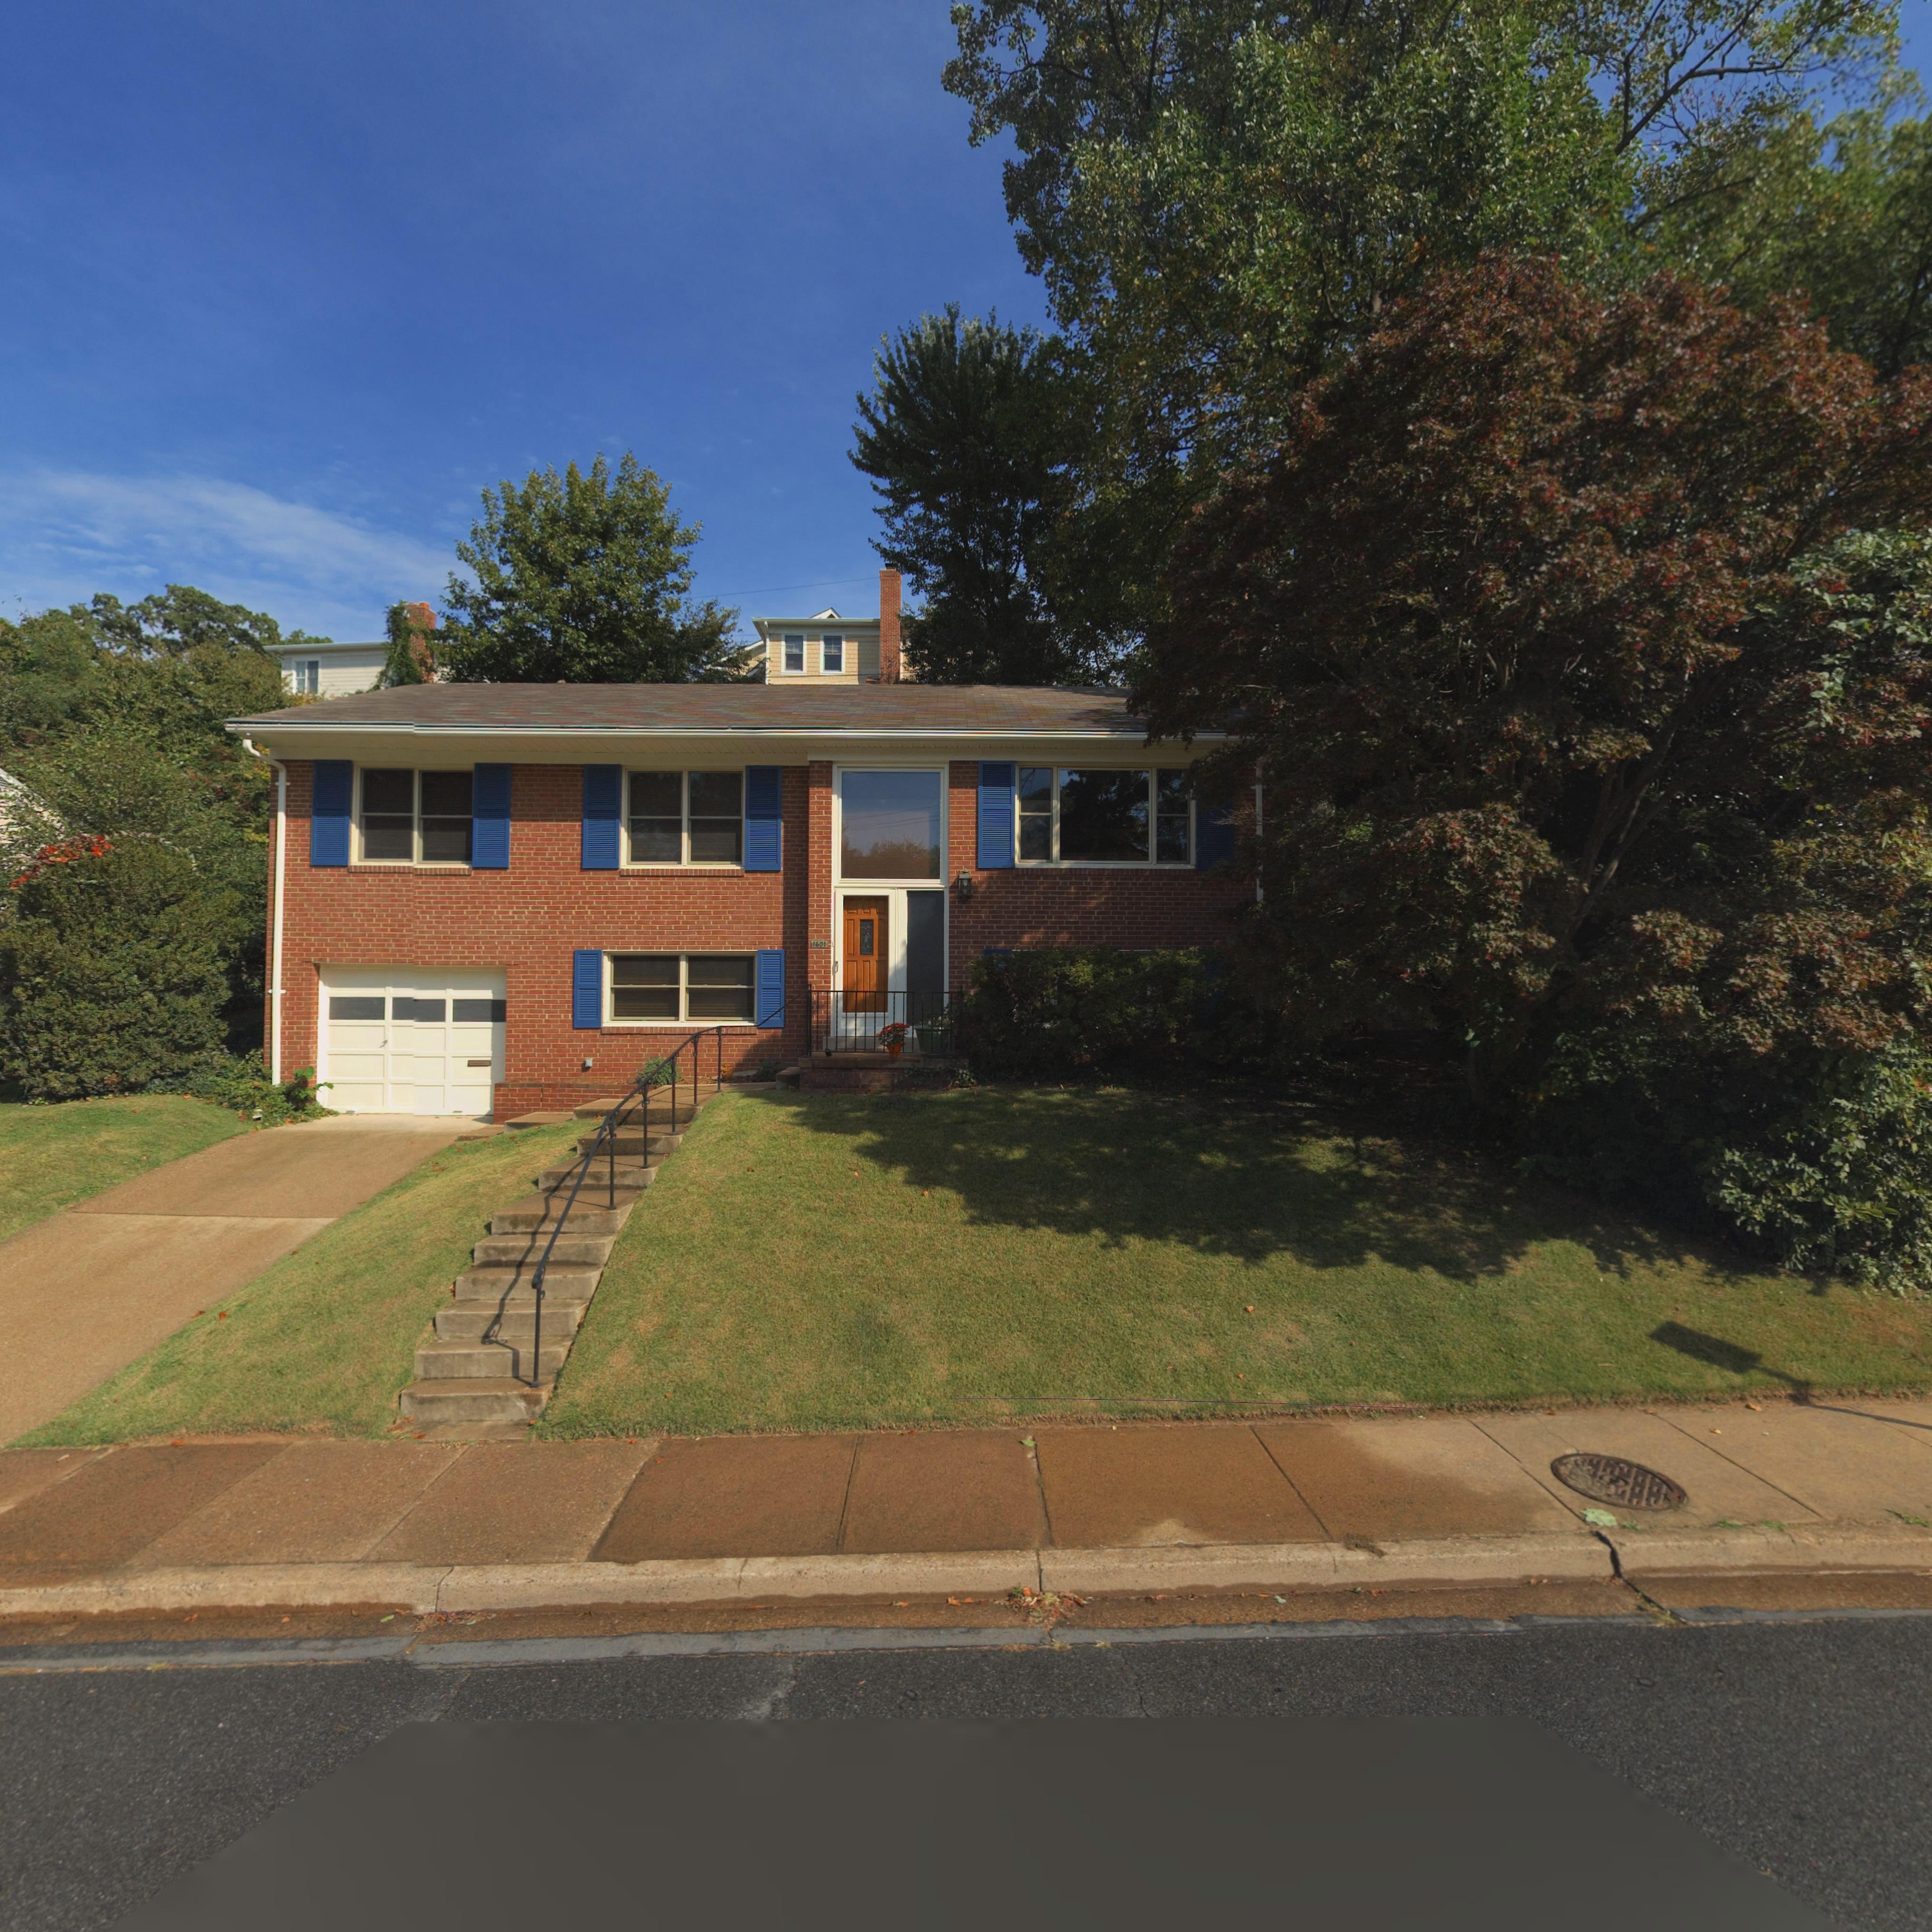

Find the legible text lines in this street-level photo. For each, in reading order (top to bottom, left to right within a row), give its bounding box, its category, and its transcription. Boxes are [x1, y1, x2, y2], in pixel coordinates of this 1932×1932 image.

[812, 940, 827, 948] StreetNumber: 1601